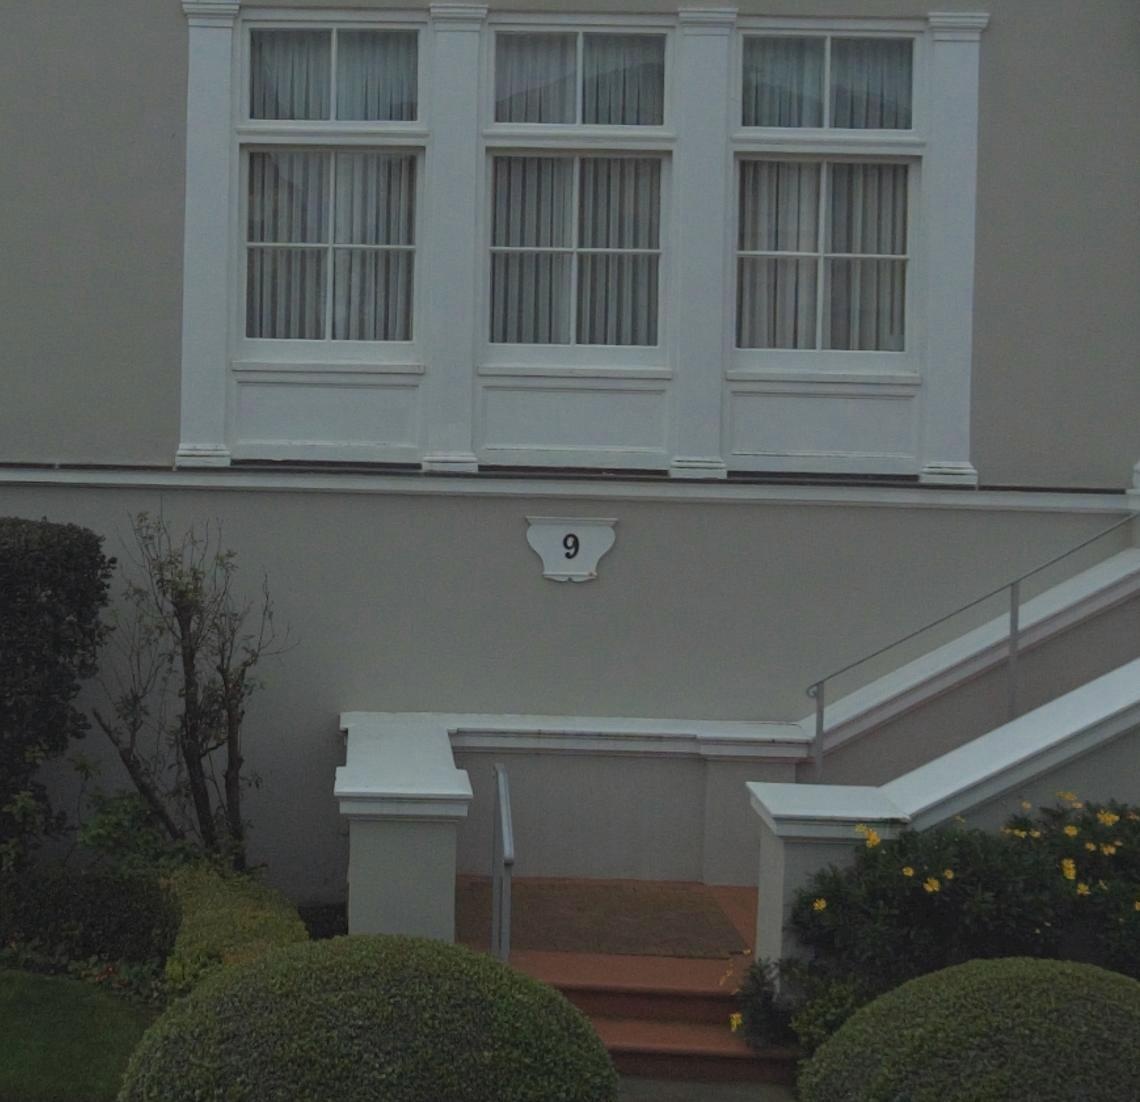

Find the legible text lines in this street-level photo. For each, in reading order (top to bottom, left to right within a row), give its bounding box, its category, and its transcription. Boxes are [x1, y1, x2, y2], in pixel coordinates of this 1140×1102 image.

[562, 533, 580, 560] StreetNumber: 9